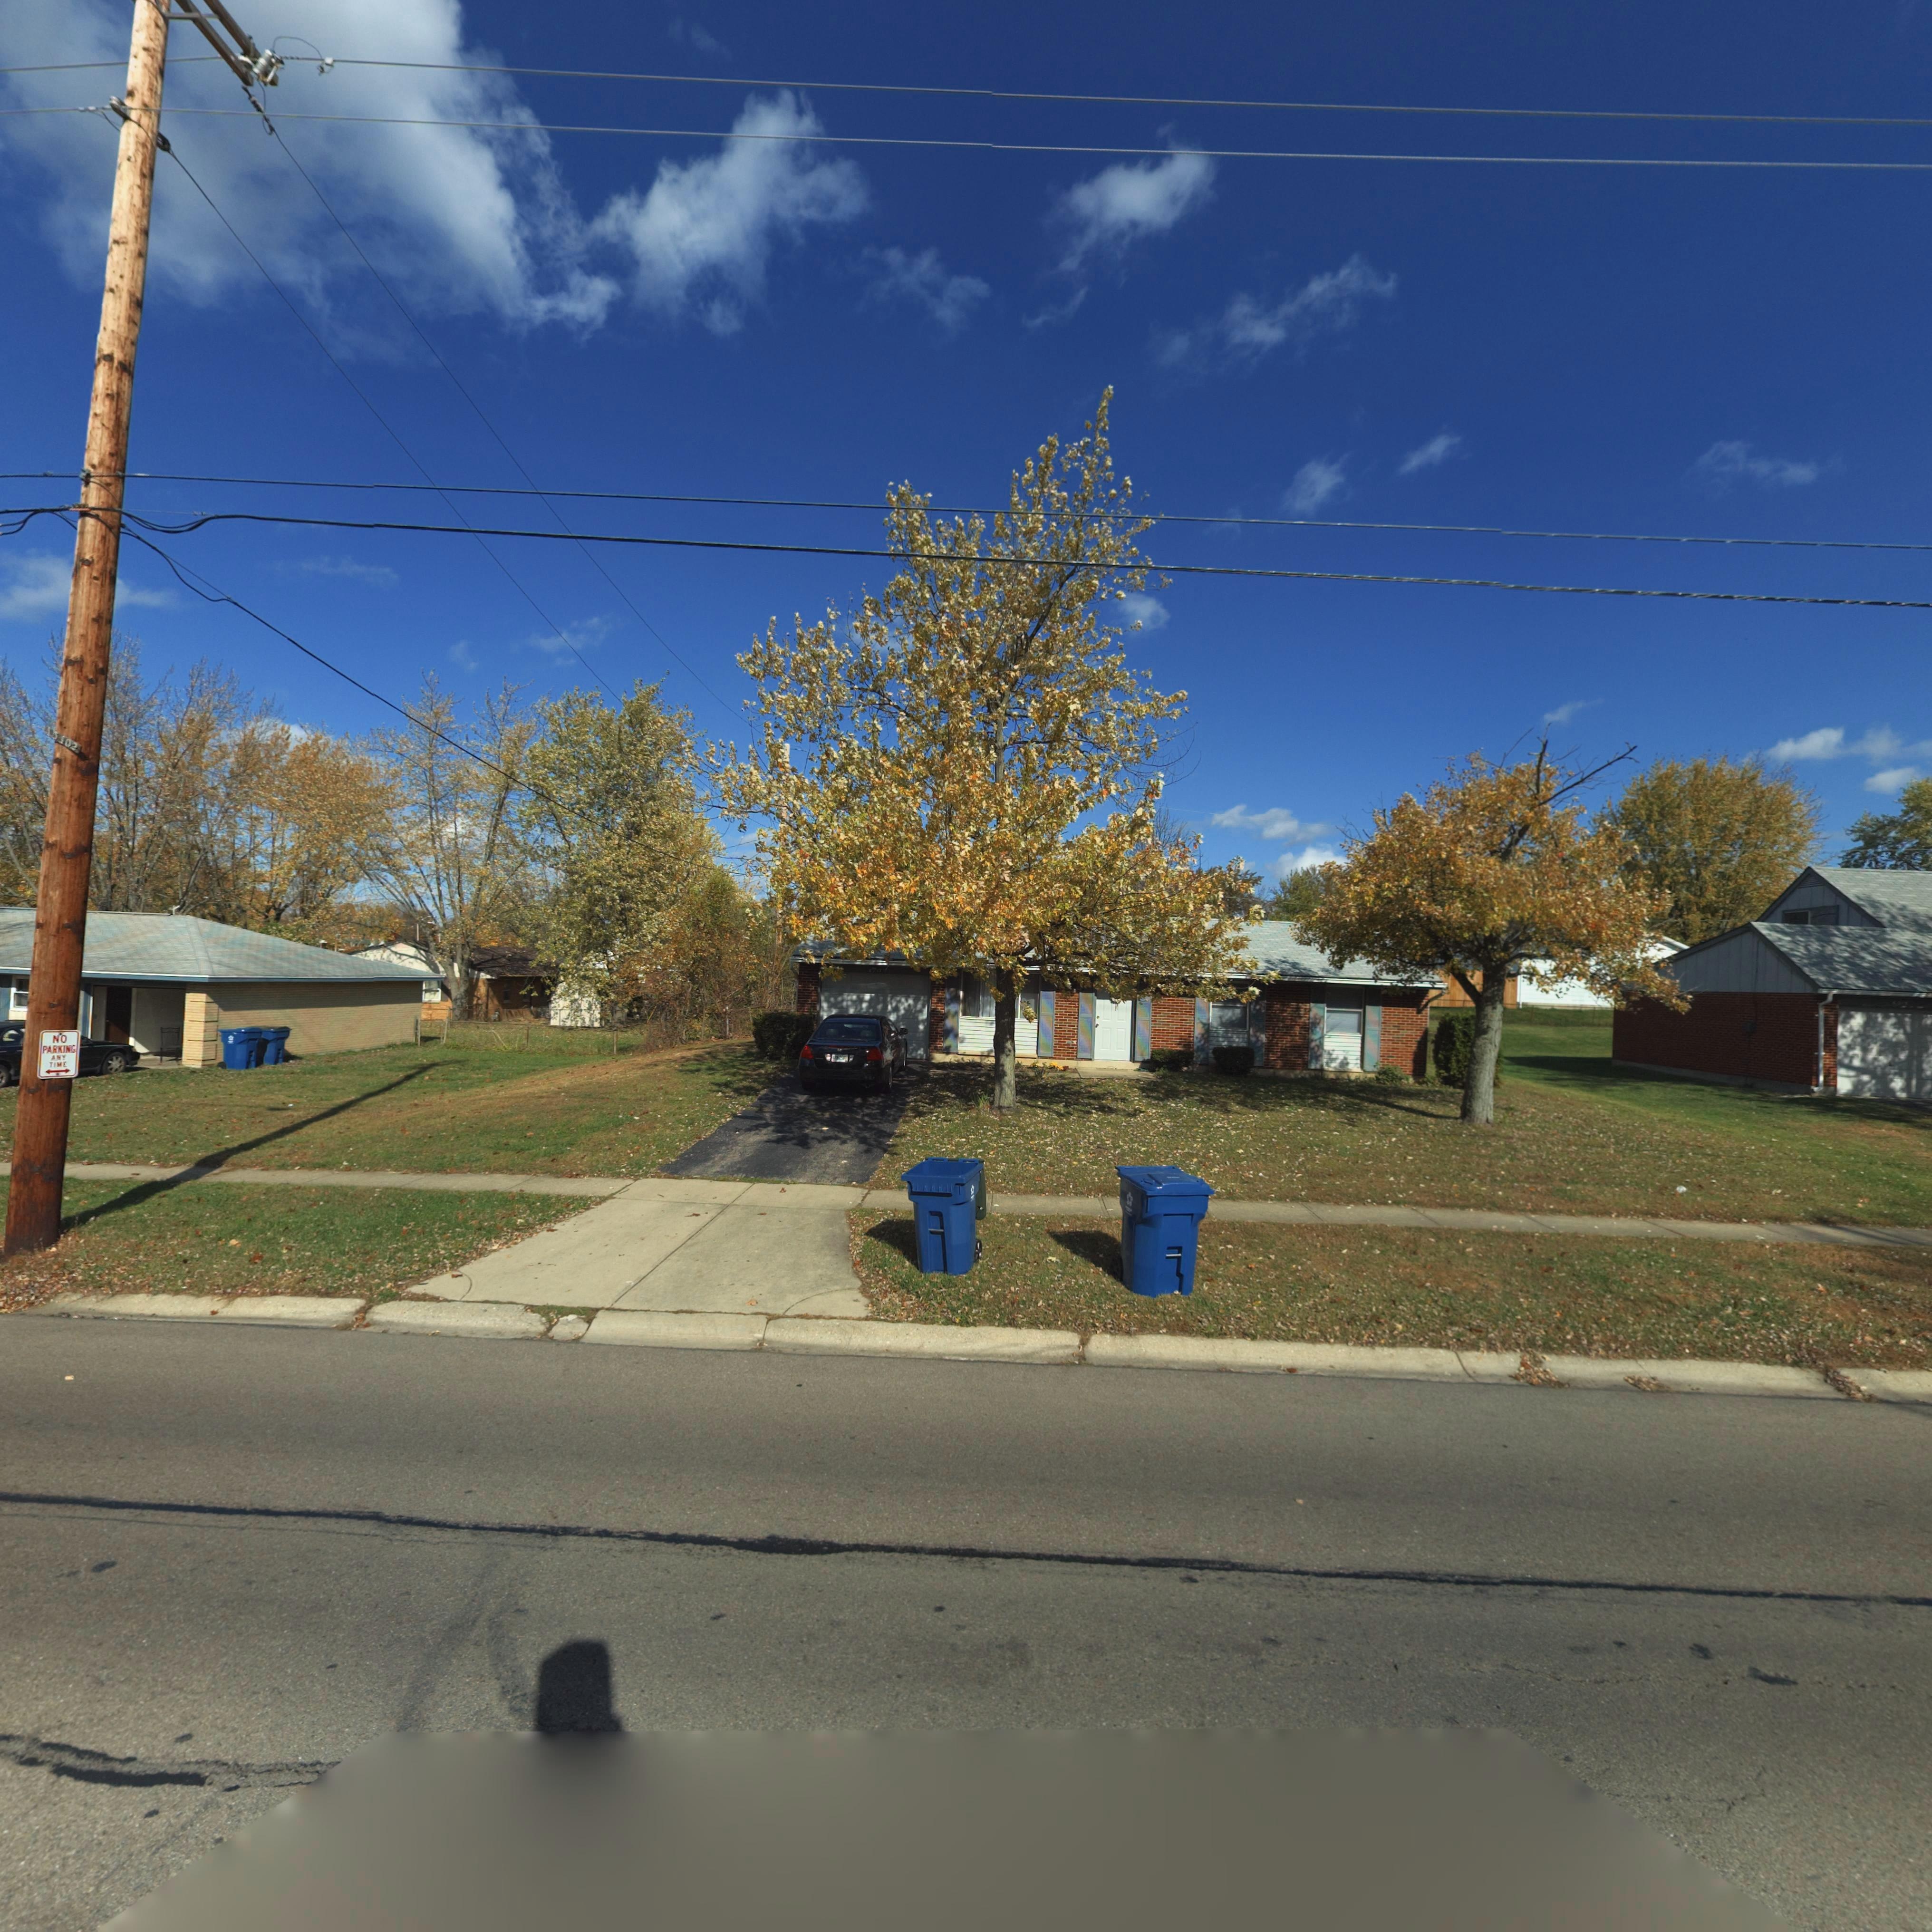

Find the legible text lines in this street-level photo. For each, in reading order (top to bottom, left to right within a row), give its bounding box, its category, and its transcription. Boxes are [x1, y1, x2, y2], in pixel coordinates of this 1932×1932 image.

[868, 968, 882, 973] StreetNumber: 6**3